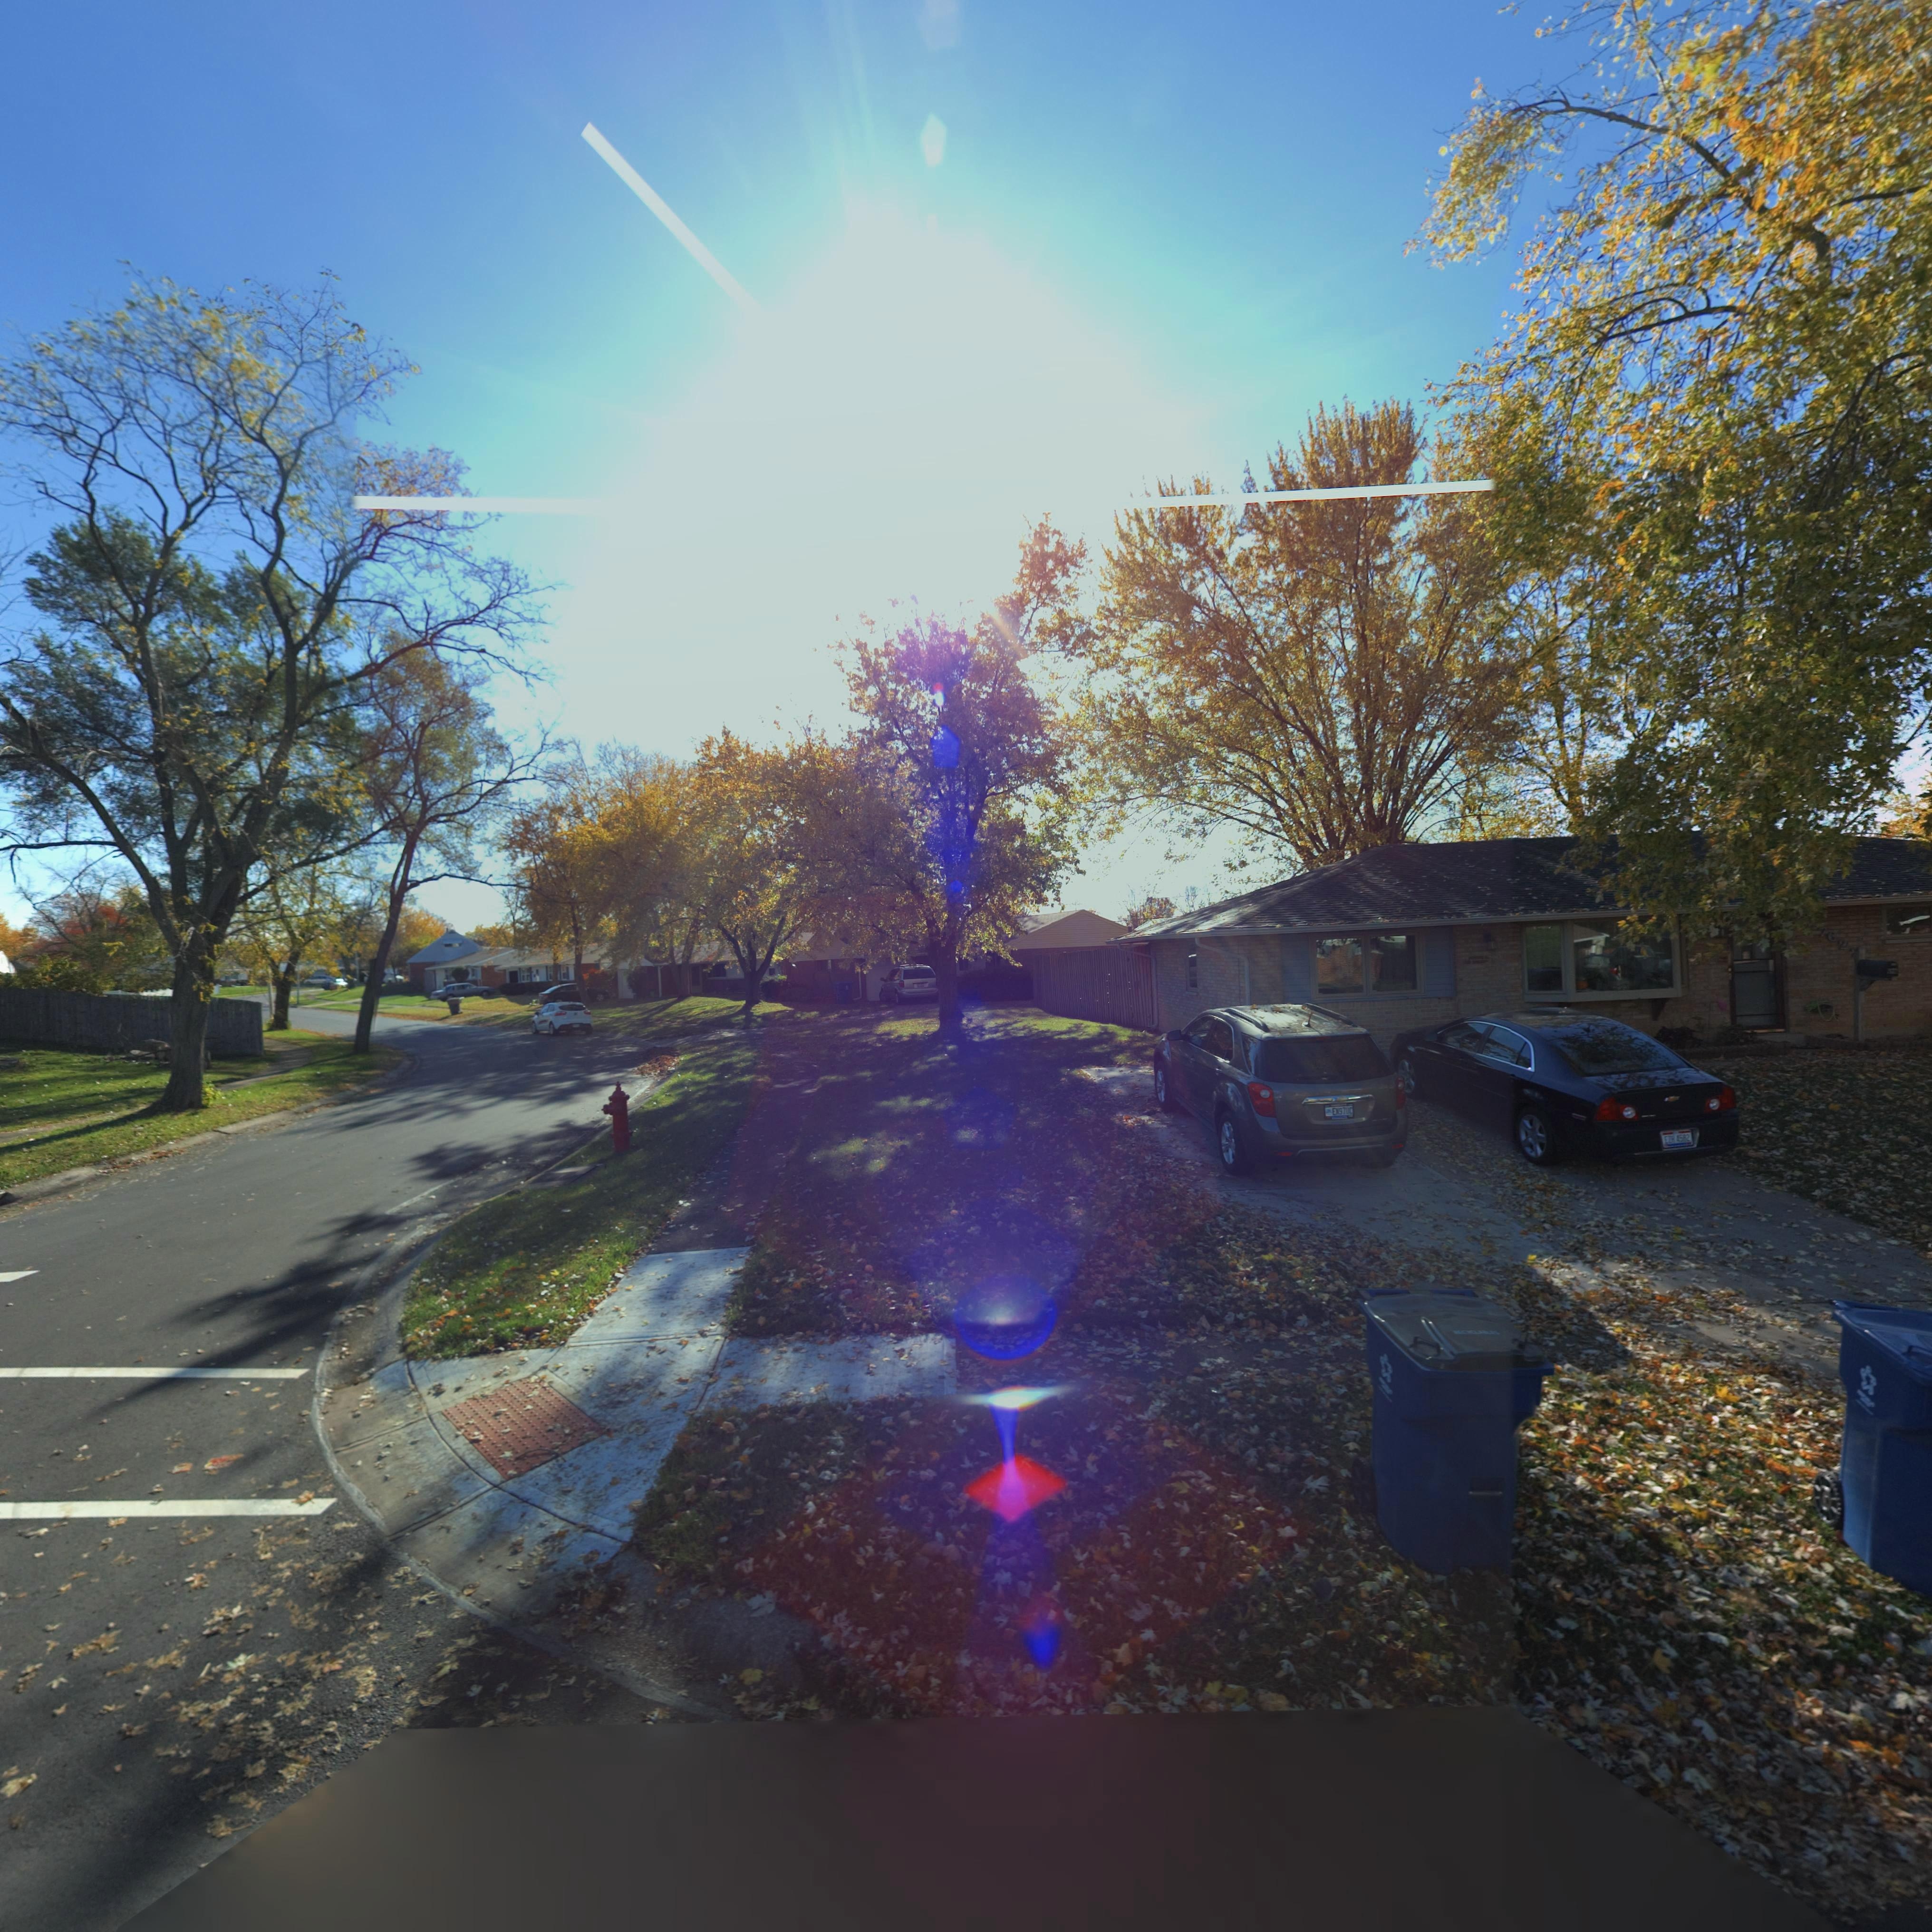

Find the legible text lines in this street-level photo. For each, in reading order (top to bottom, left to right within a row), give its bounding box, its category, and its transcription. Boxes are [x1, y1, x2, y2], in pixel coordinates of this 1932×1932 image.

[1816, 926, 1850, 952] StreetNumber: 762